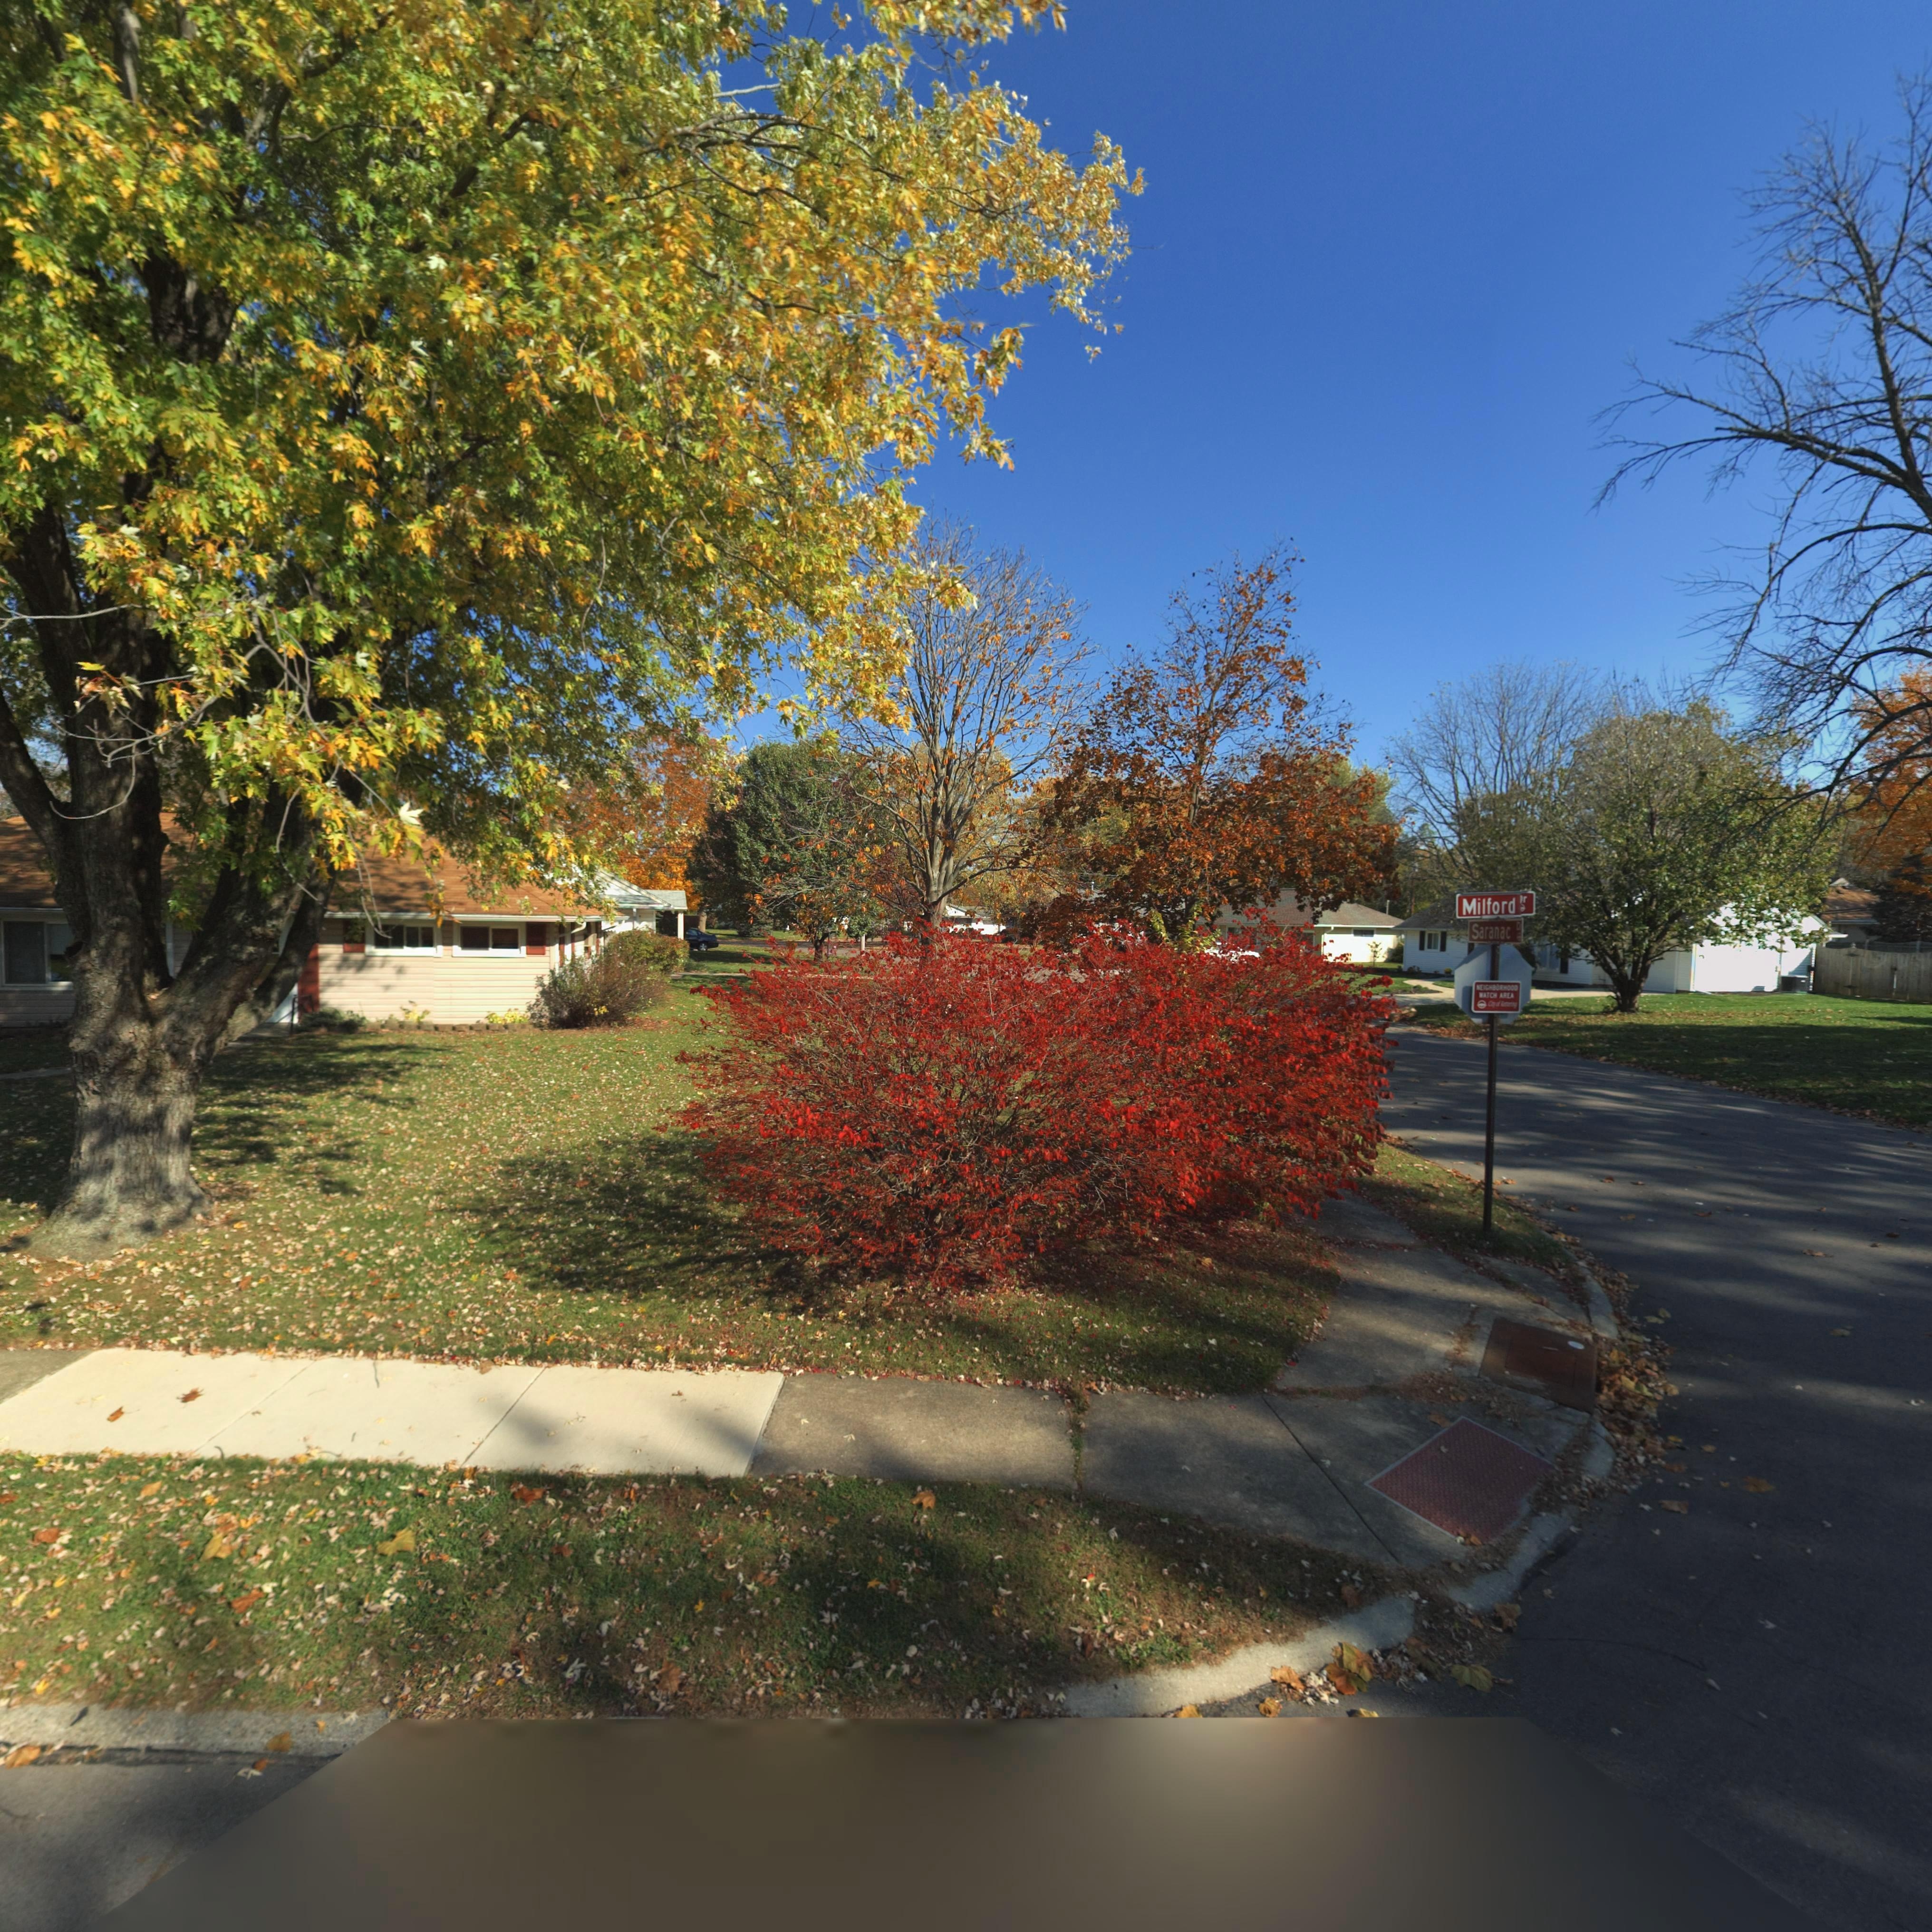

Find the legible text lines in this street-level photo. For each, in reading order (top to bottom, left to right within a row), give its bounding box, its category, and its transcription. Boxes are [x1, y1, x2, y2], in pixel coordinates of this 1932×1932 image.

[1461, 892, 1530, 918] StreetName: Milford *r
[1470, 920, 1513, 942] StreetName: Saranac
[1478, 990, 1516, 1000] None: WATCH AREA
[1475, 983, 1519, 992] None: NEIGHBORHOOD\